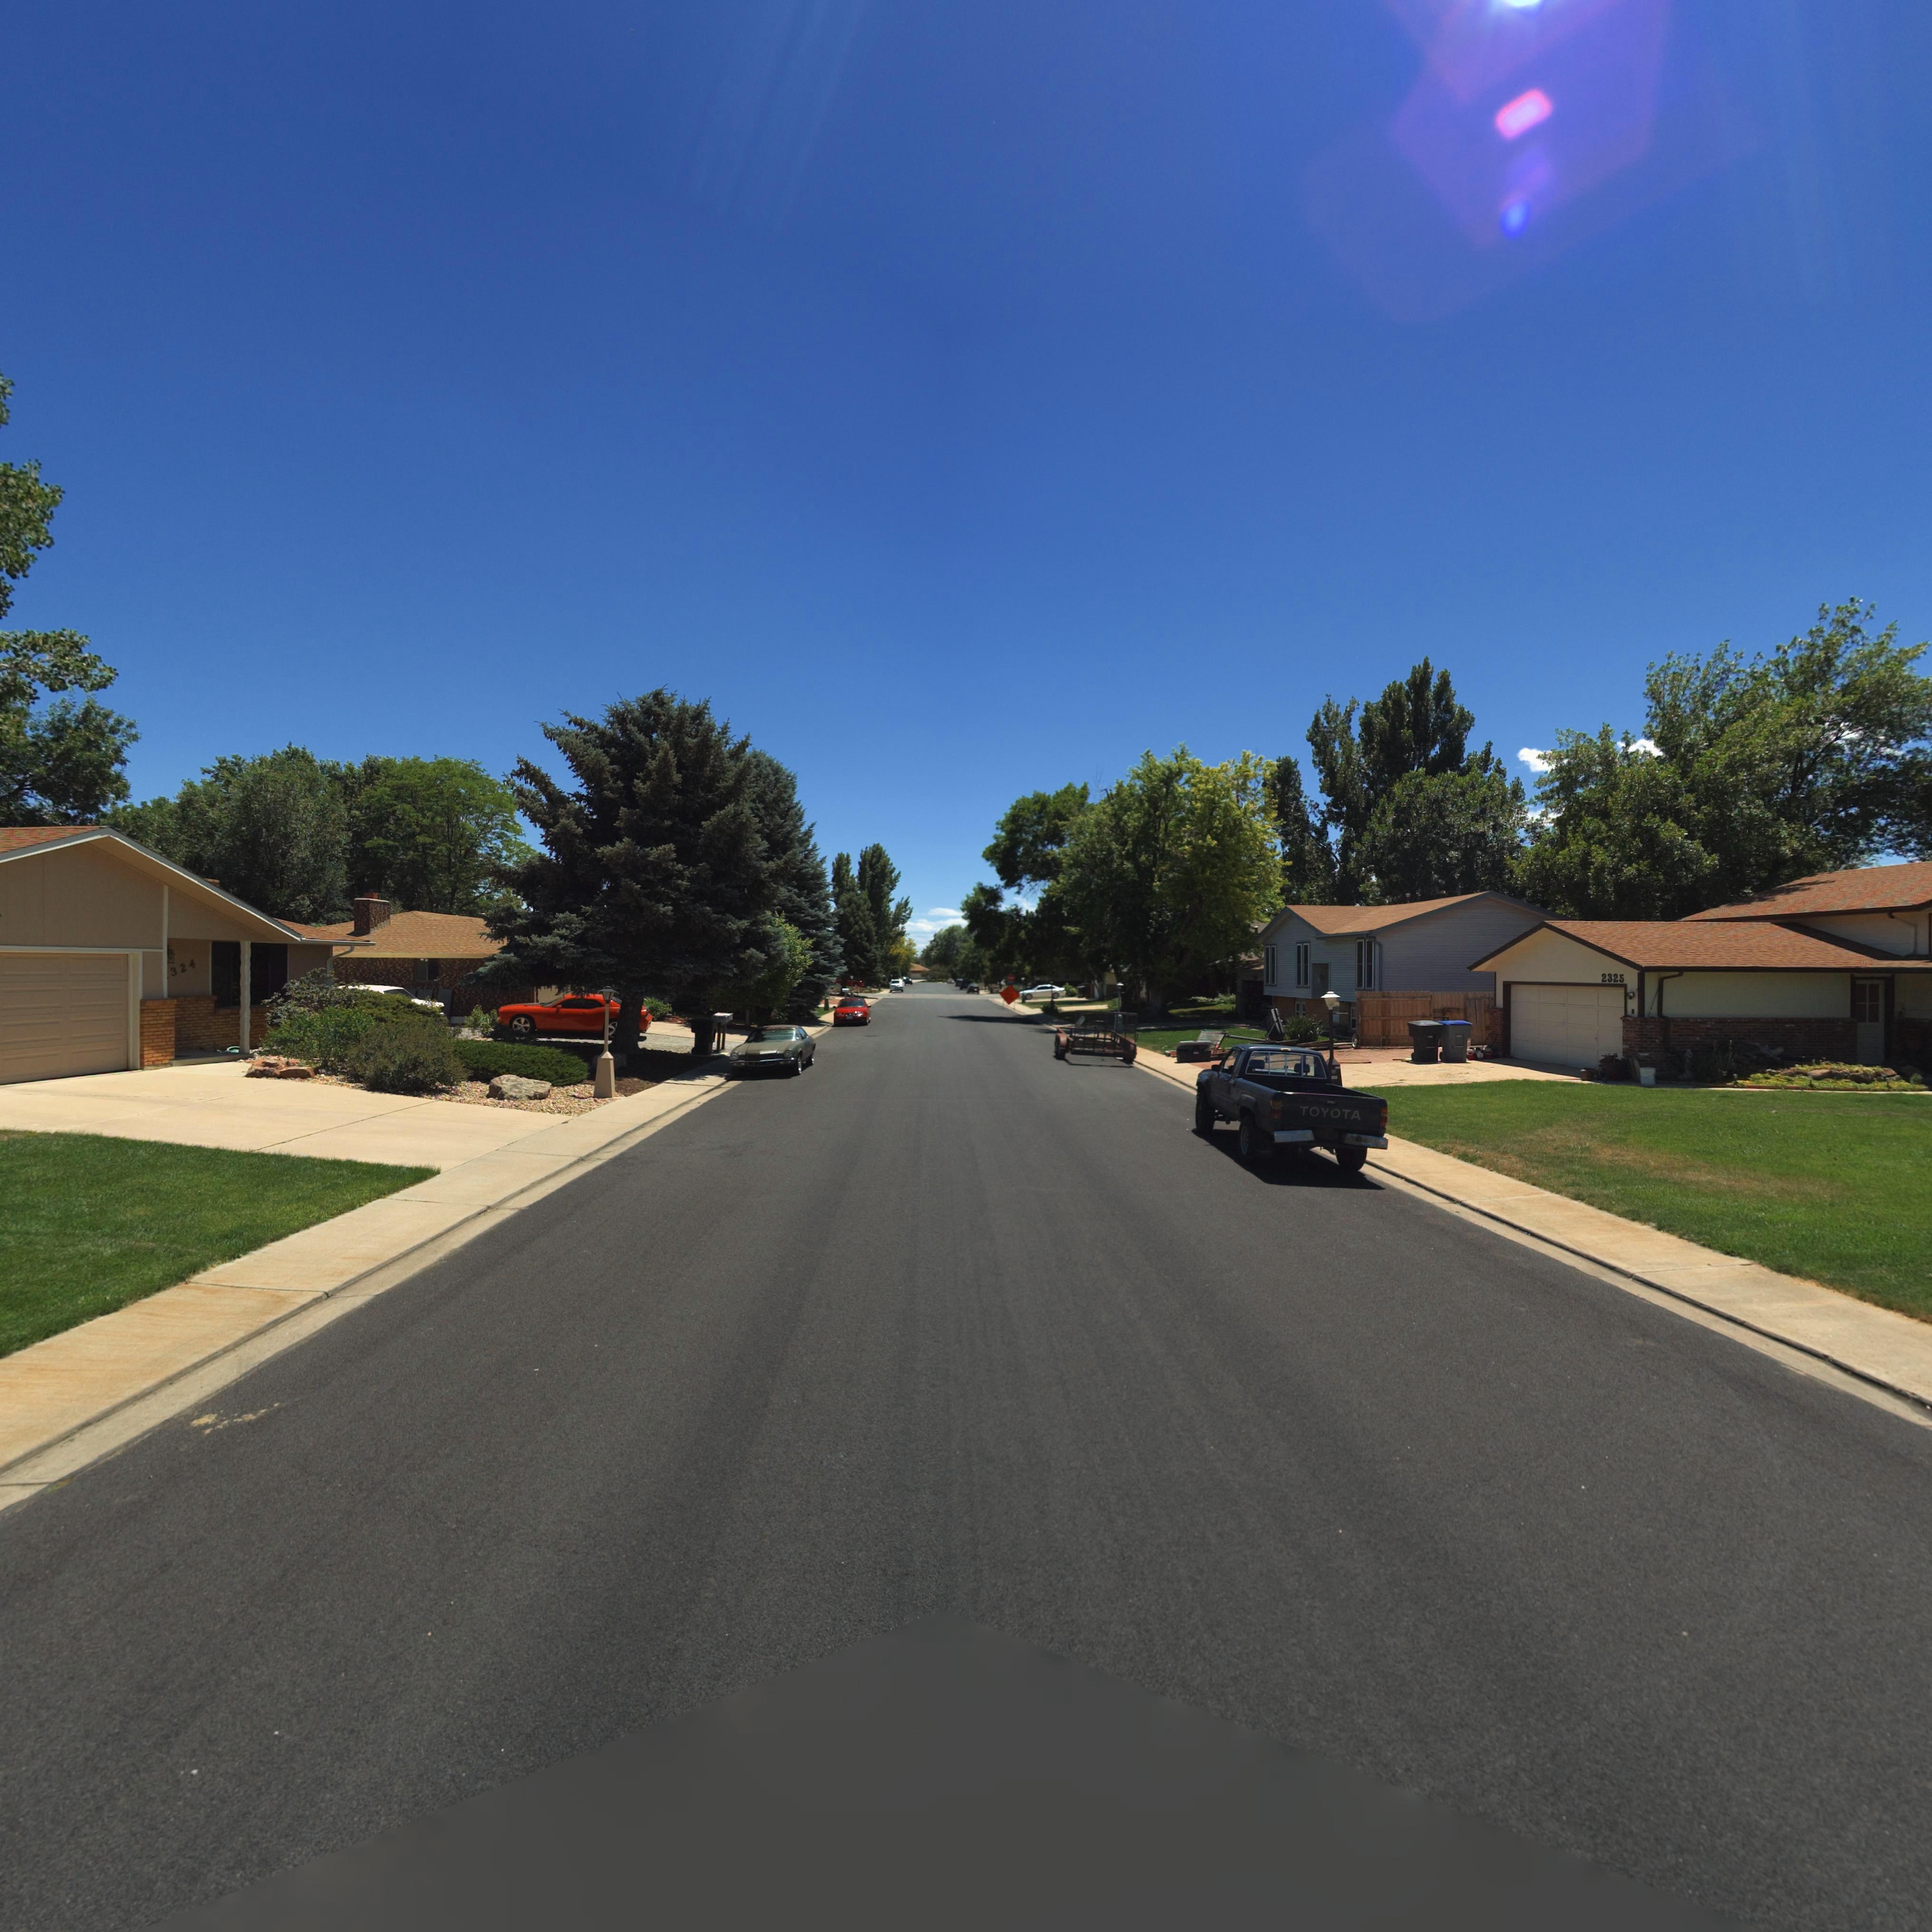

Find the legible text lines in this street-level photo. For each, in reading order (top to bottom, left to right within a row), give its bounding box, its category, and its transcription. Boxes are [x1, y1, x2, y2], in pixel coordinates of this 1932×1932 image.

[170, 958, 196, 976] StreetNumber: 324
[1601, 973, 1624, 983] StreetNumber: 2325